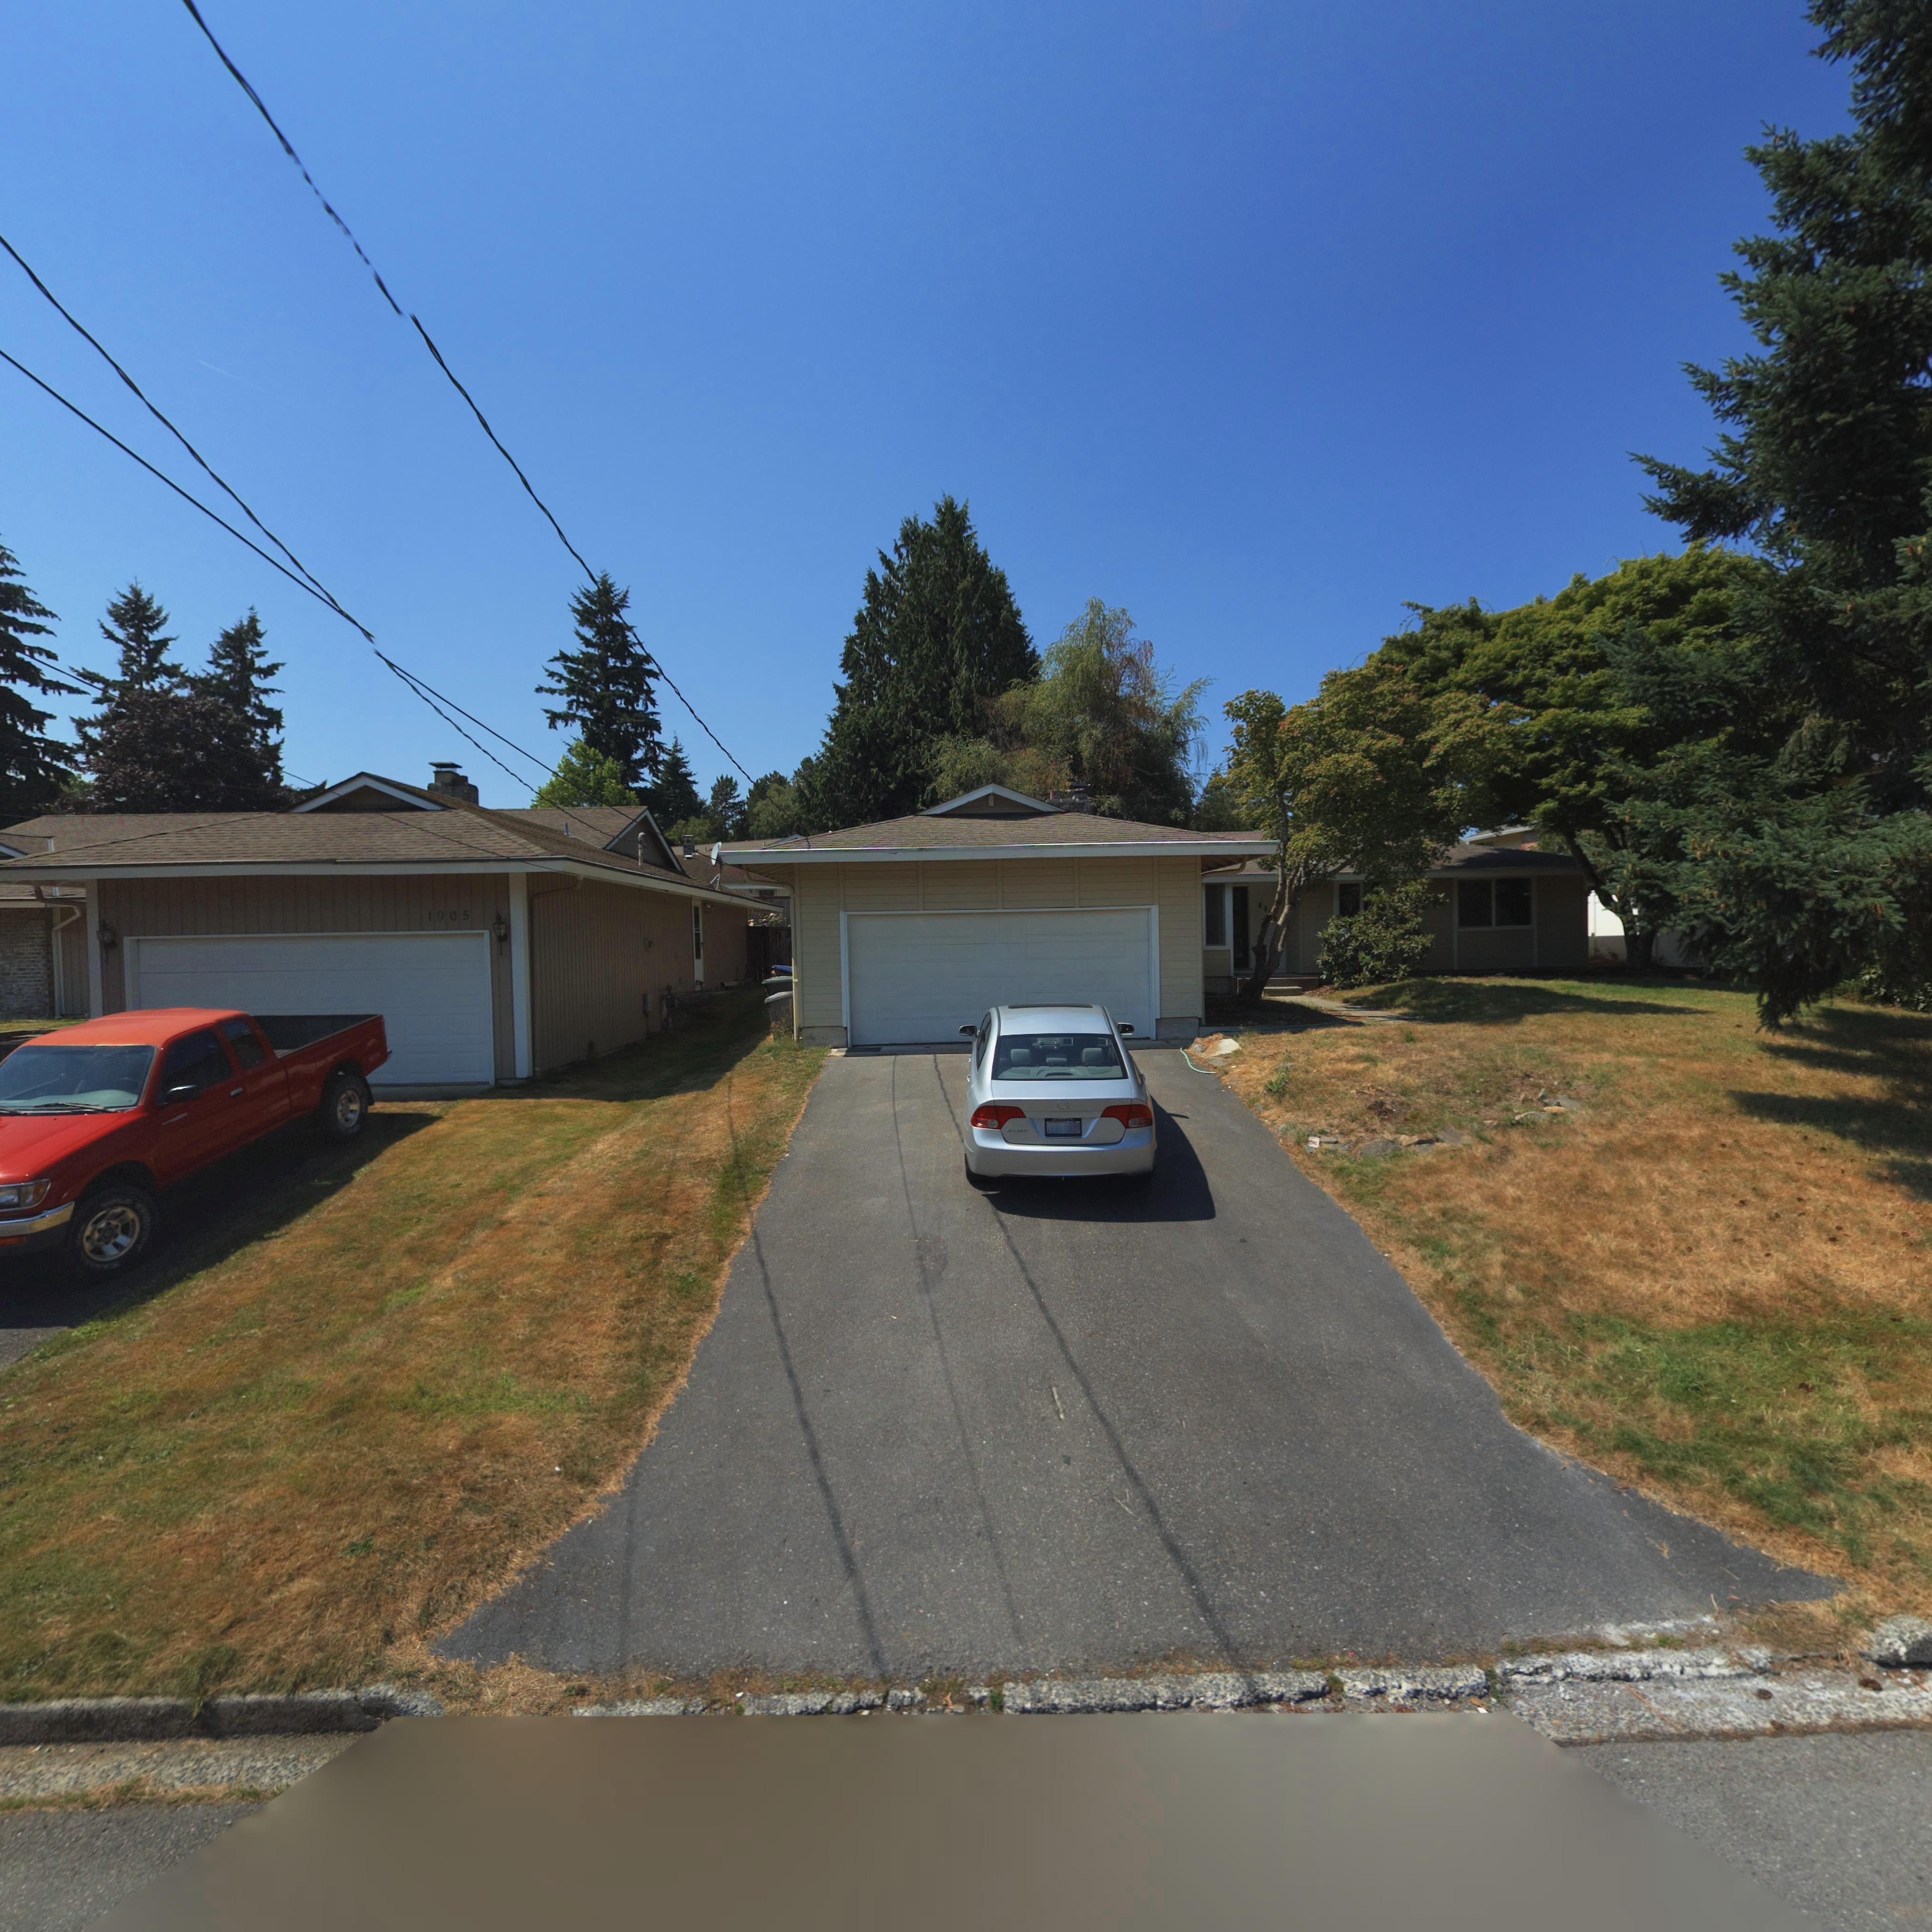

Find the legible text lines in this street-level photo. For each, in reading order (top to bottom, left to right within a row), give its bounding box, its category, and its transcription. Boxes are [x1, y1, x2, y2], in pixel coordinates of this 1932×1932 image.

[428, 909, 470, 921] StreetNumber: 1905